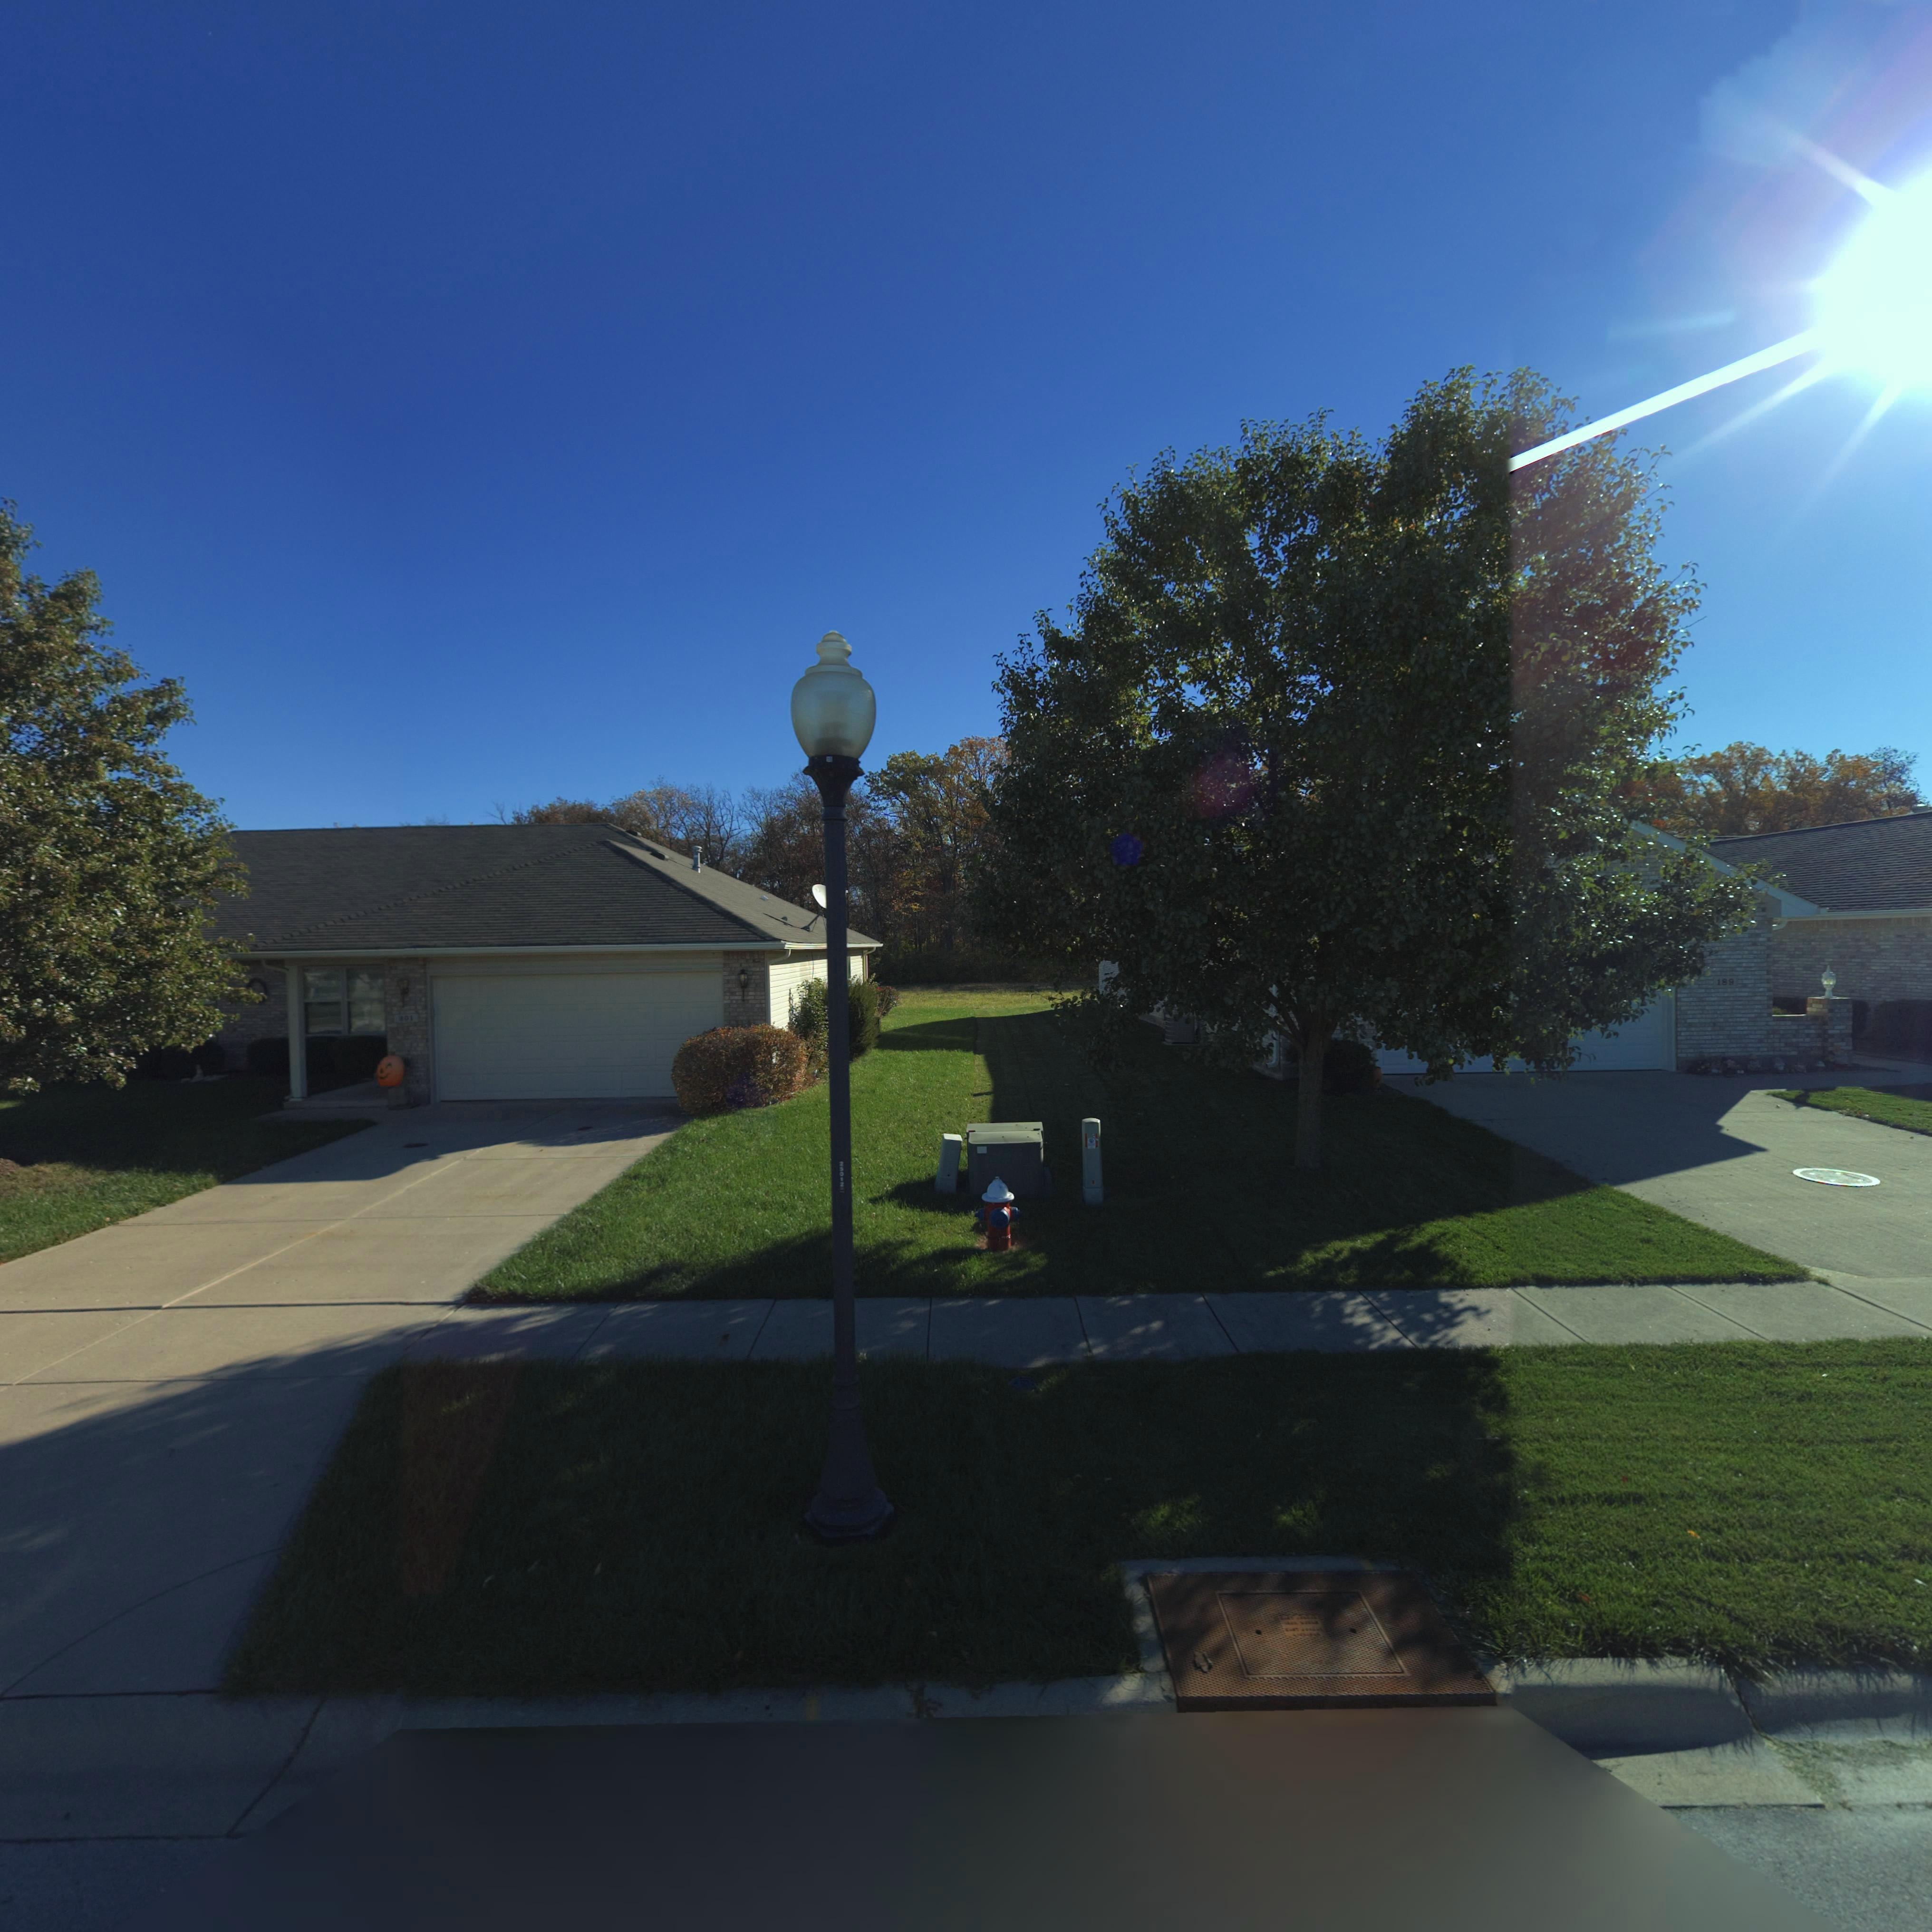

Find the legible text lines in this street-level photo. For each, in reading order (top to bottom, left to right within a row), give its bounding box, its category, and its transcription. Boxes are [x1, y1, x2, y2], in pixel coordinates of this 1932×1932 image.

[1716, 977, 1735, 986] StreetNumber: 189
[398, 1014, 415, 1022] StreetNumber: *01